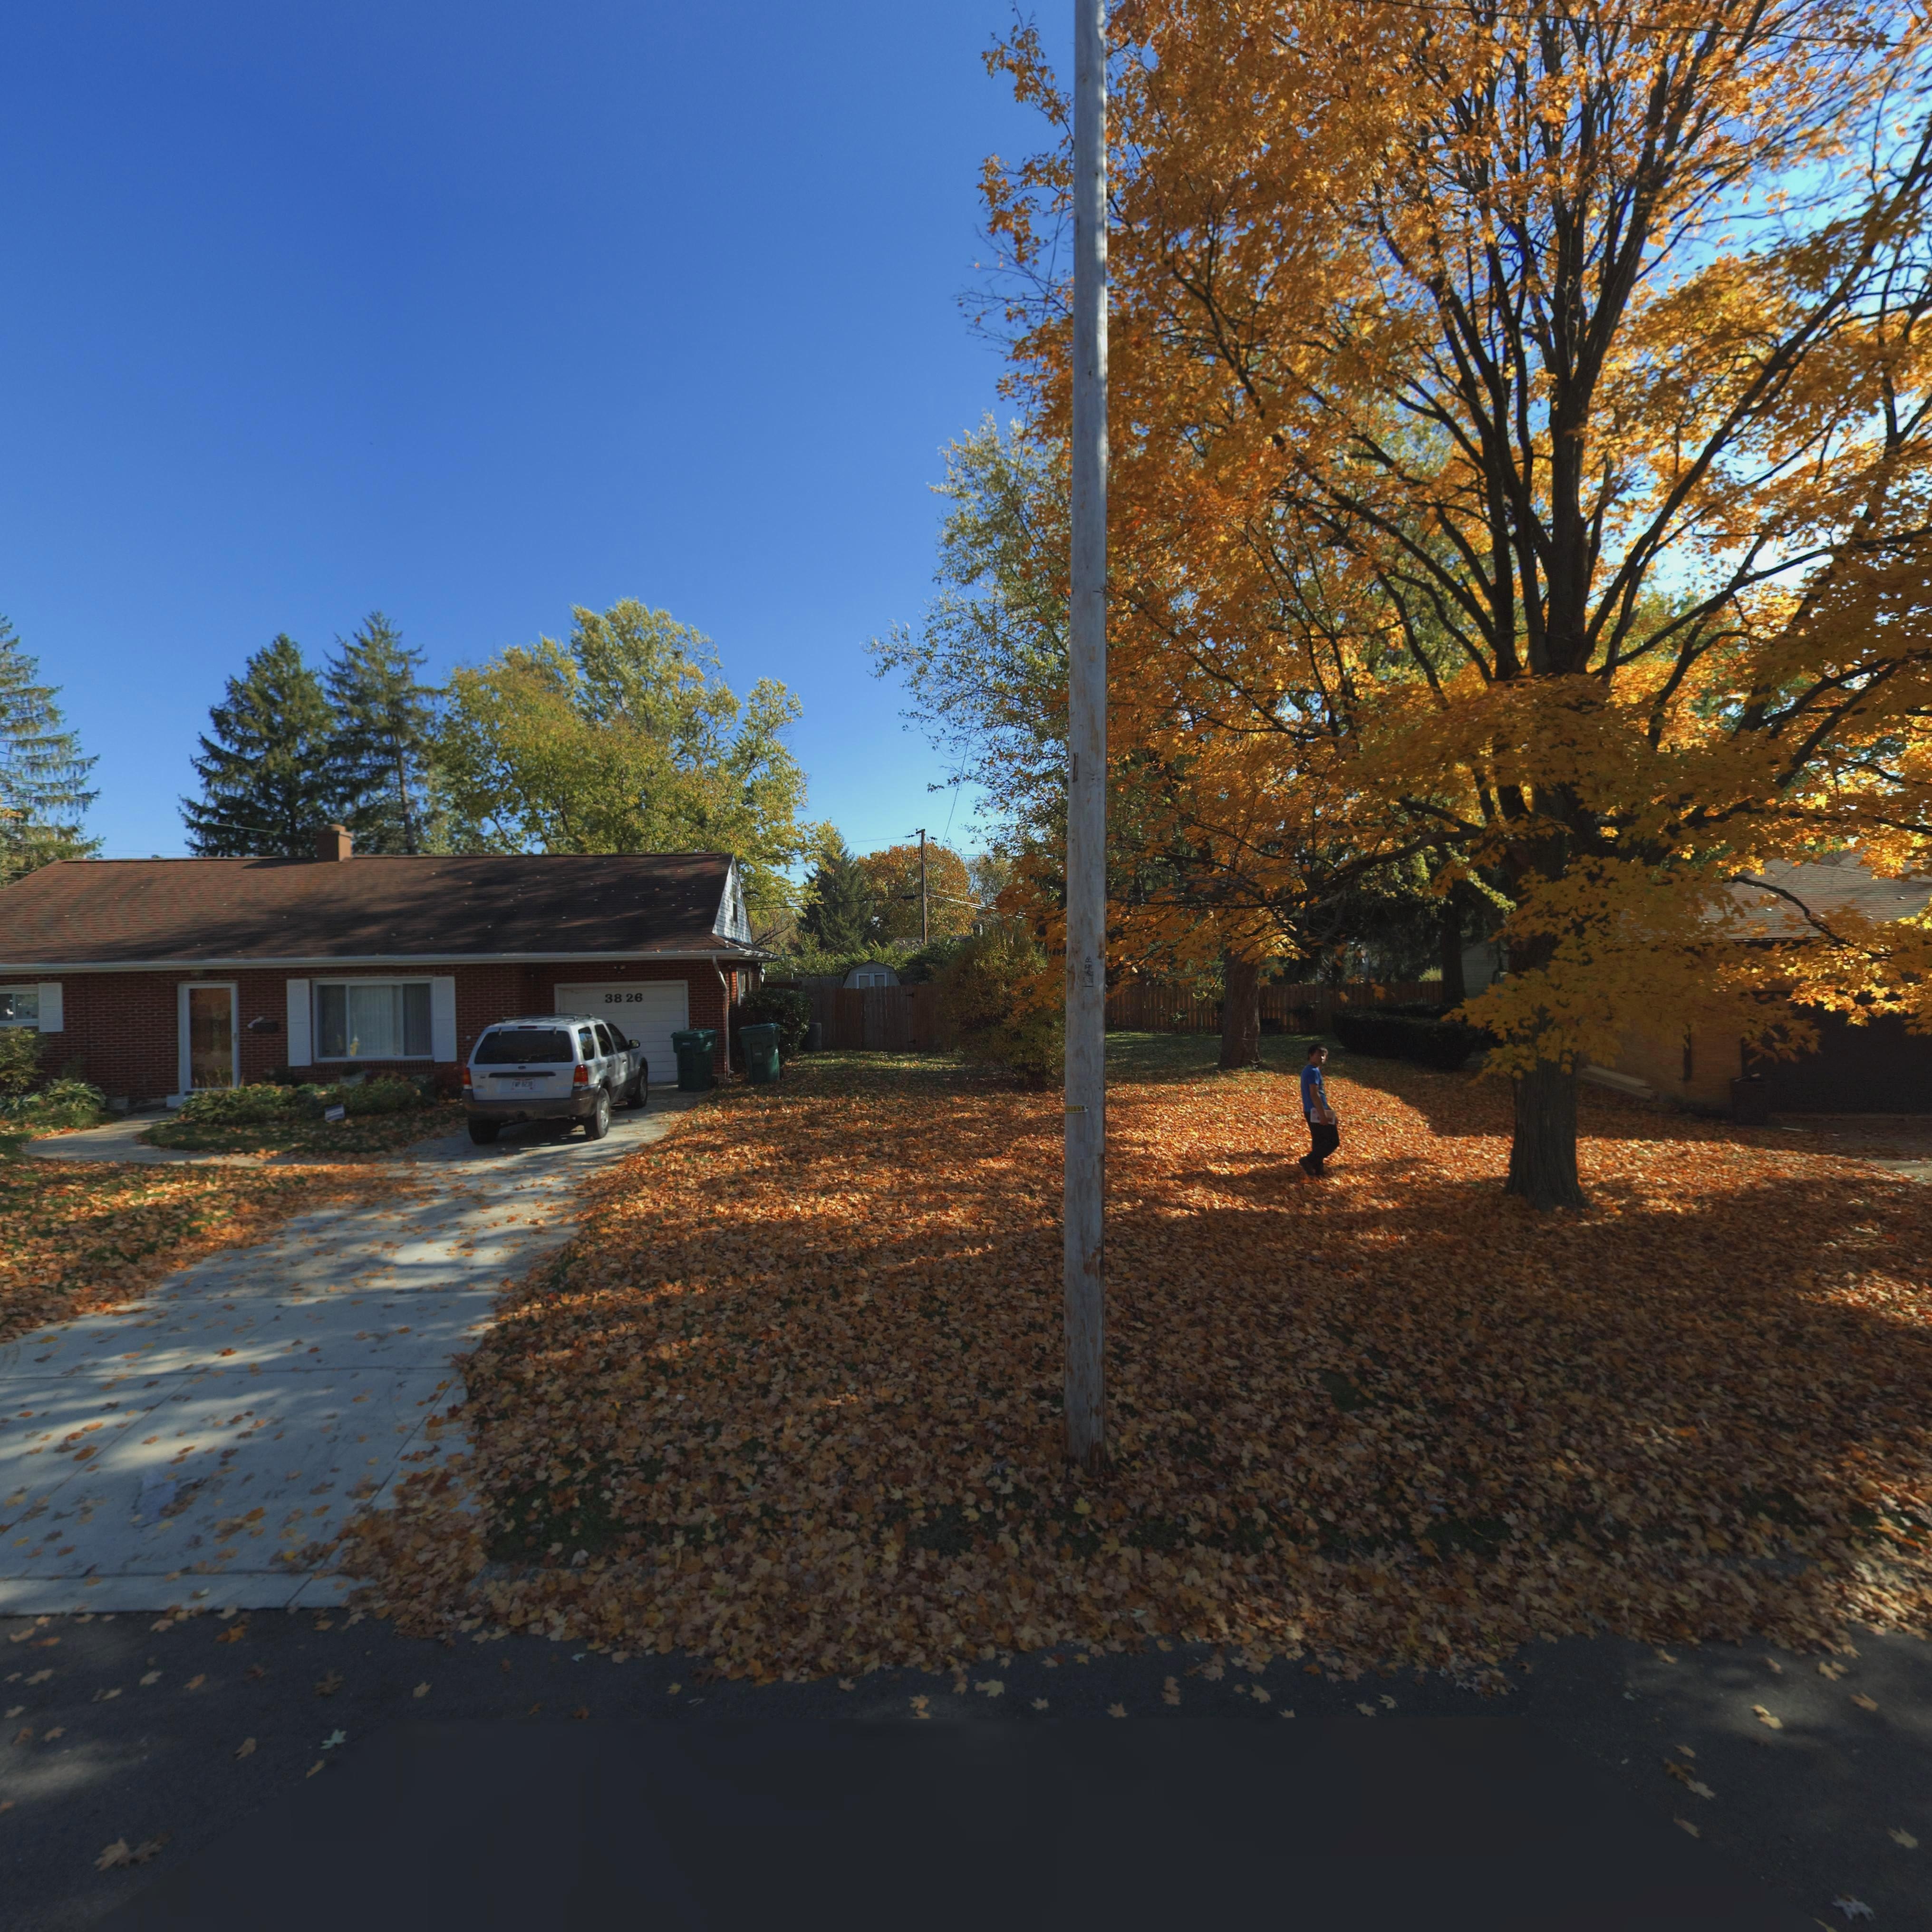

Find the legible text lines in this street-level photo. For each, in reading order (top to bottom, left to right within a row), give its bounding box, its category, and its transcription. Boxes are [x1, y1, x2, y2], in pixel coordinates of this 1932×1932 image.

[603, 992, 644, 1005] StreetNumber: 3826